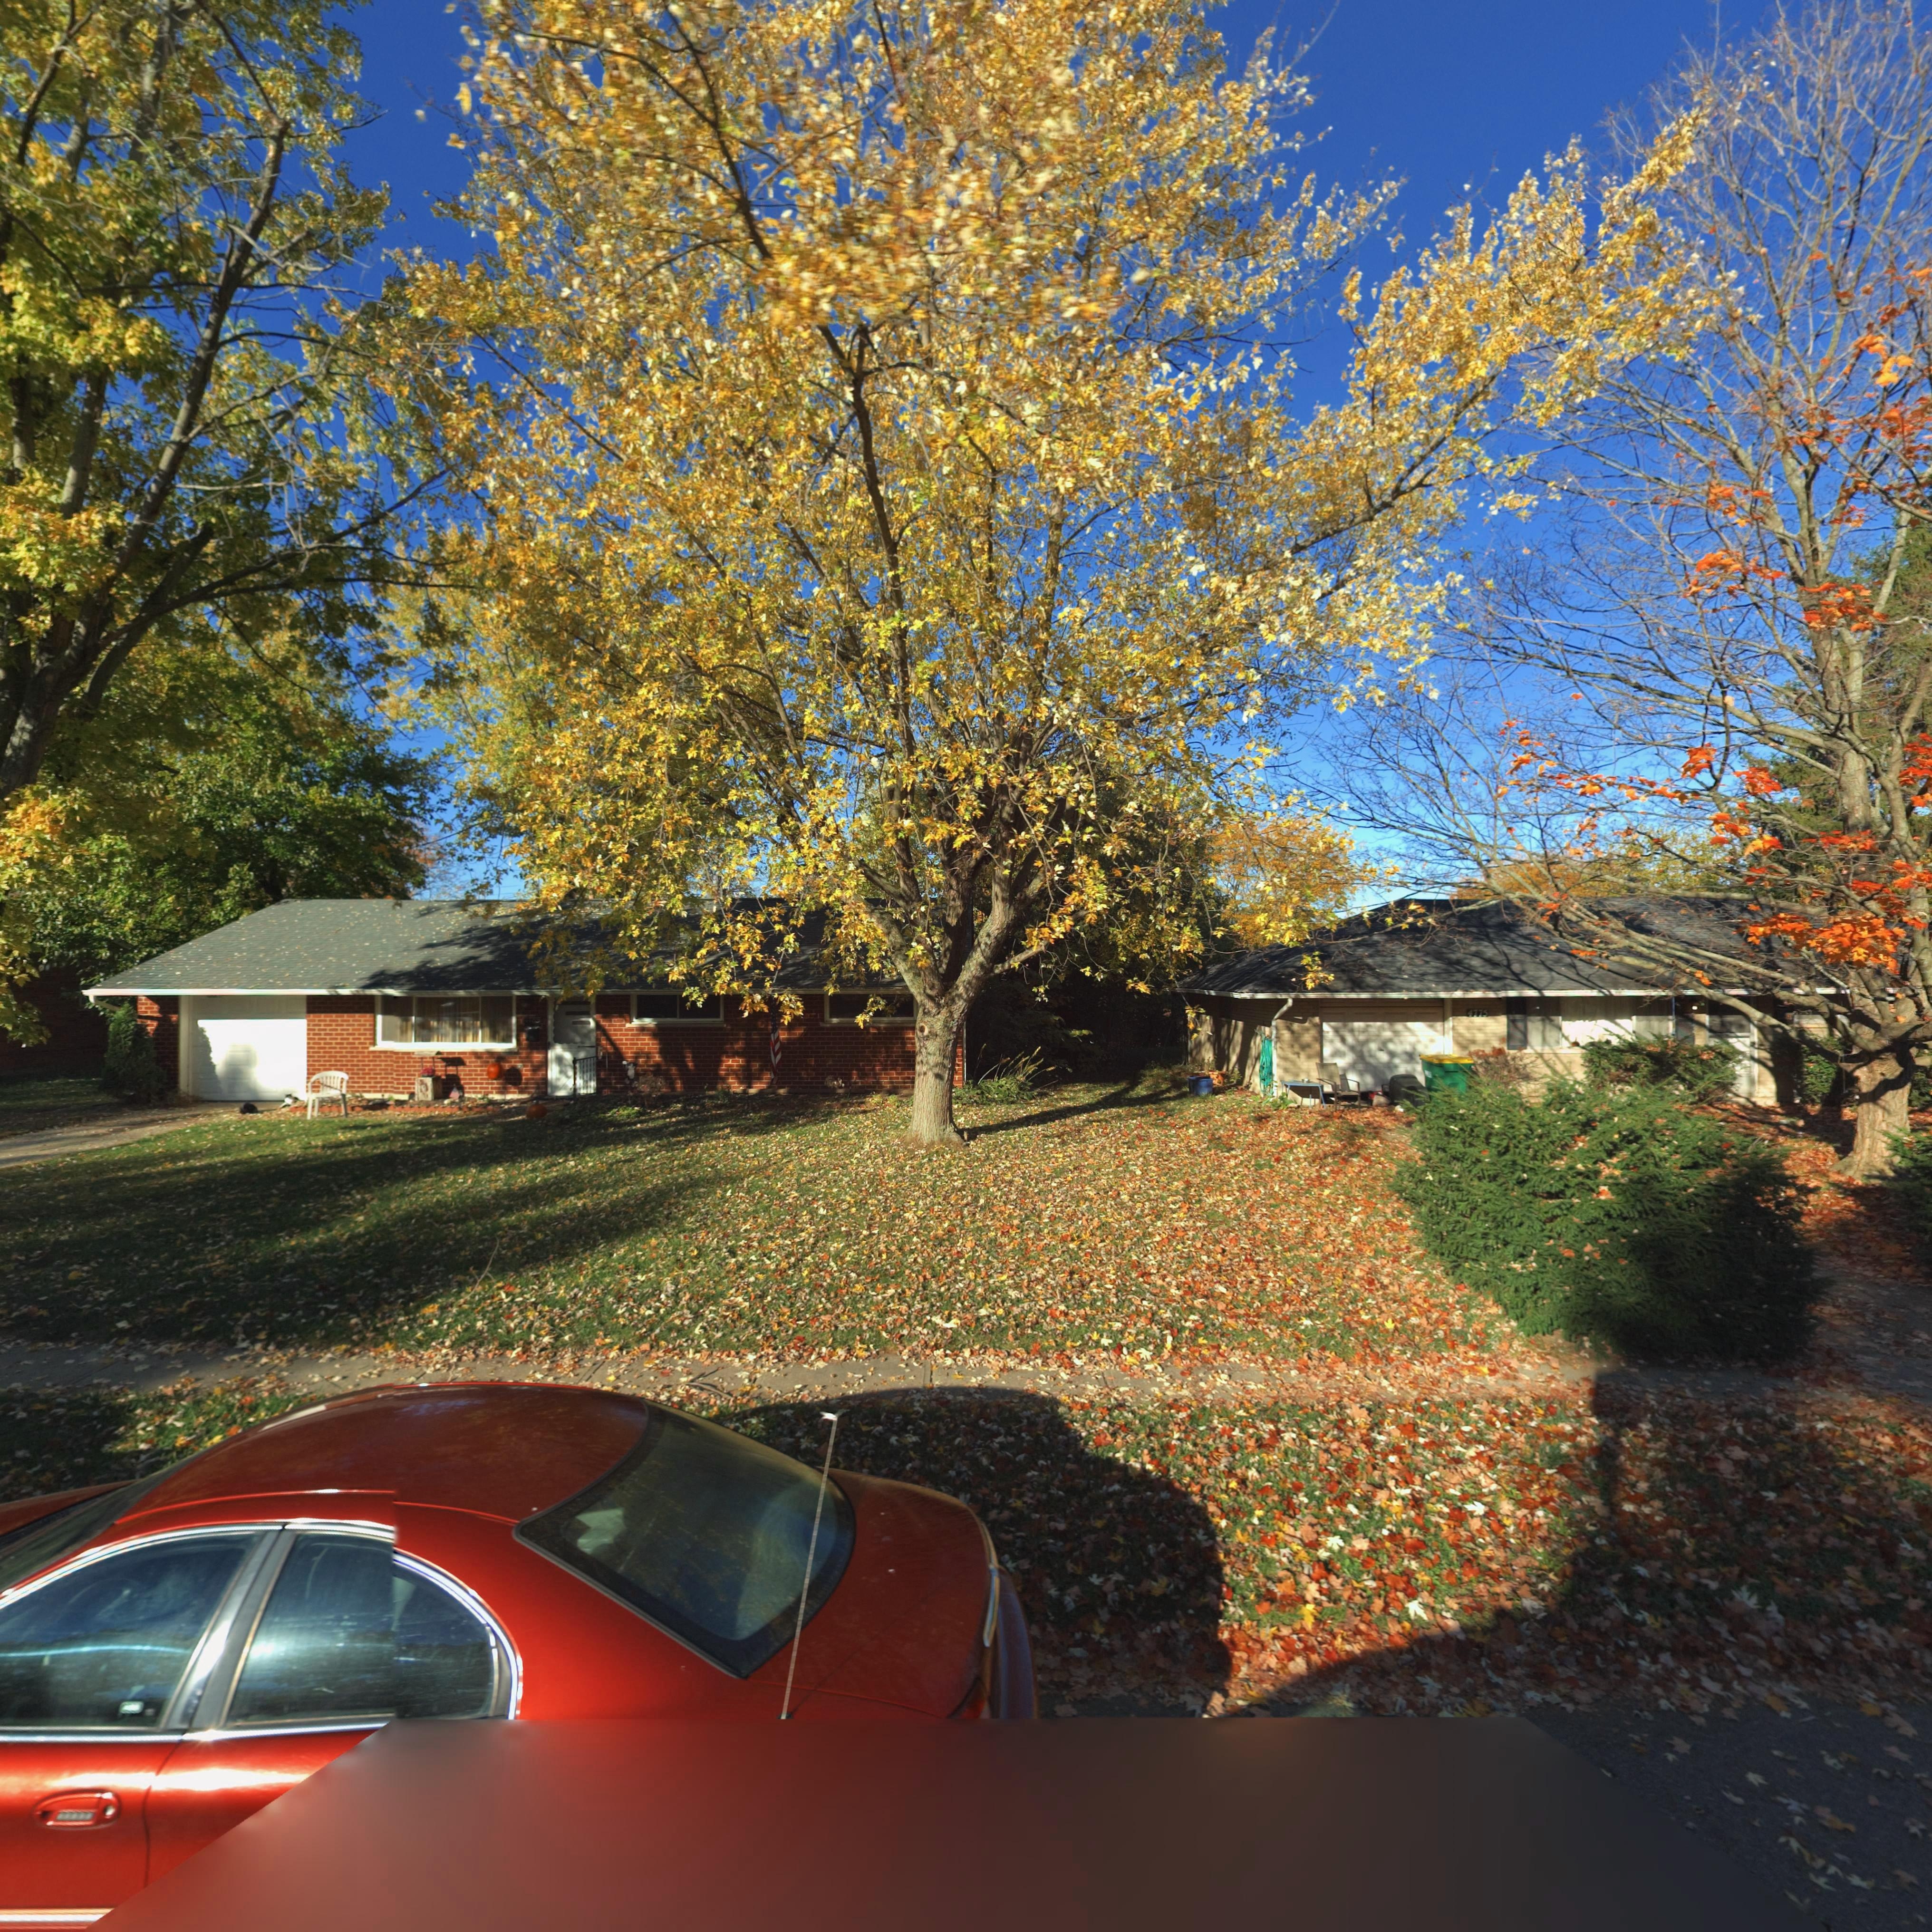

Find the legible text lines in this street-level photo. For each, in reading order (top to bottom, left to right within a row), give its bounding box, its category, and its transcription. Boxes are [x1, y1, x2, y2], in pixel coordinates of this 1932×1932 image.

[1468, 1009, 1488, 1017] StreetNumber: 4775